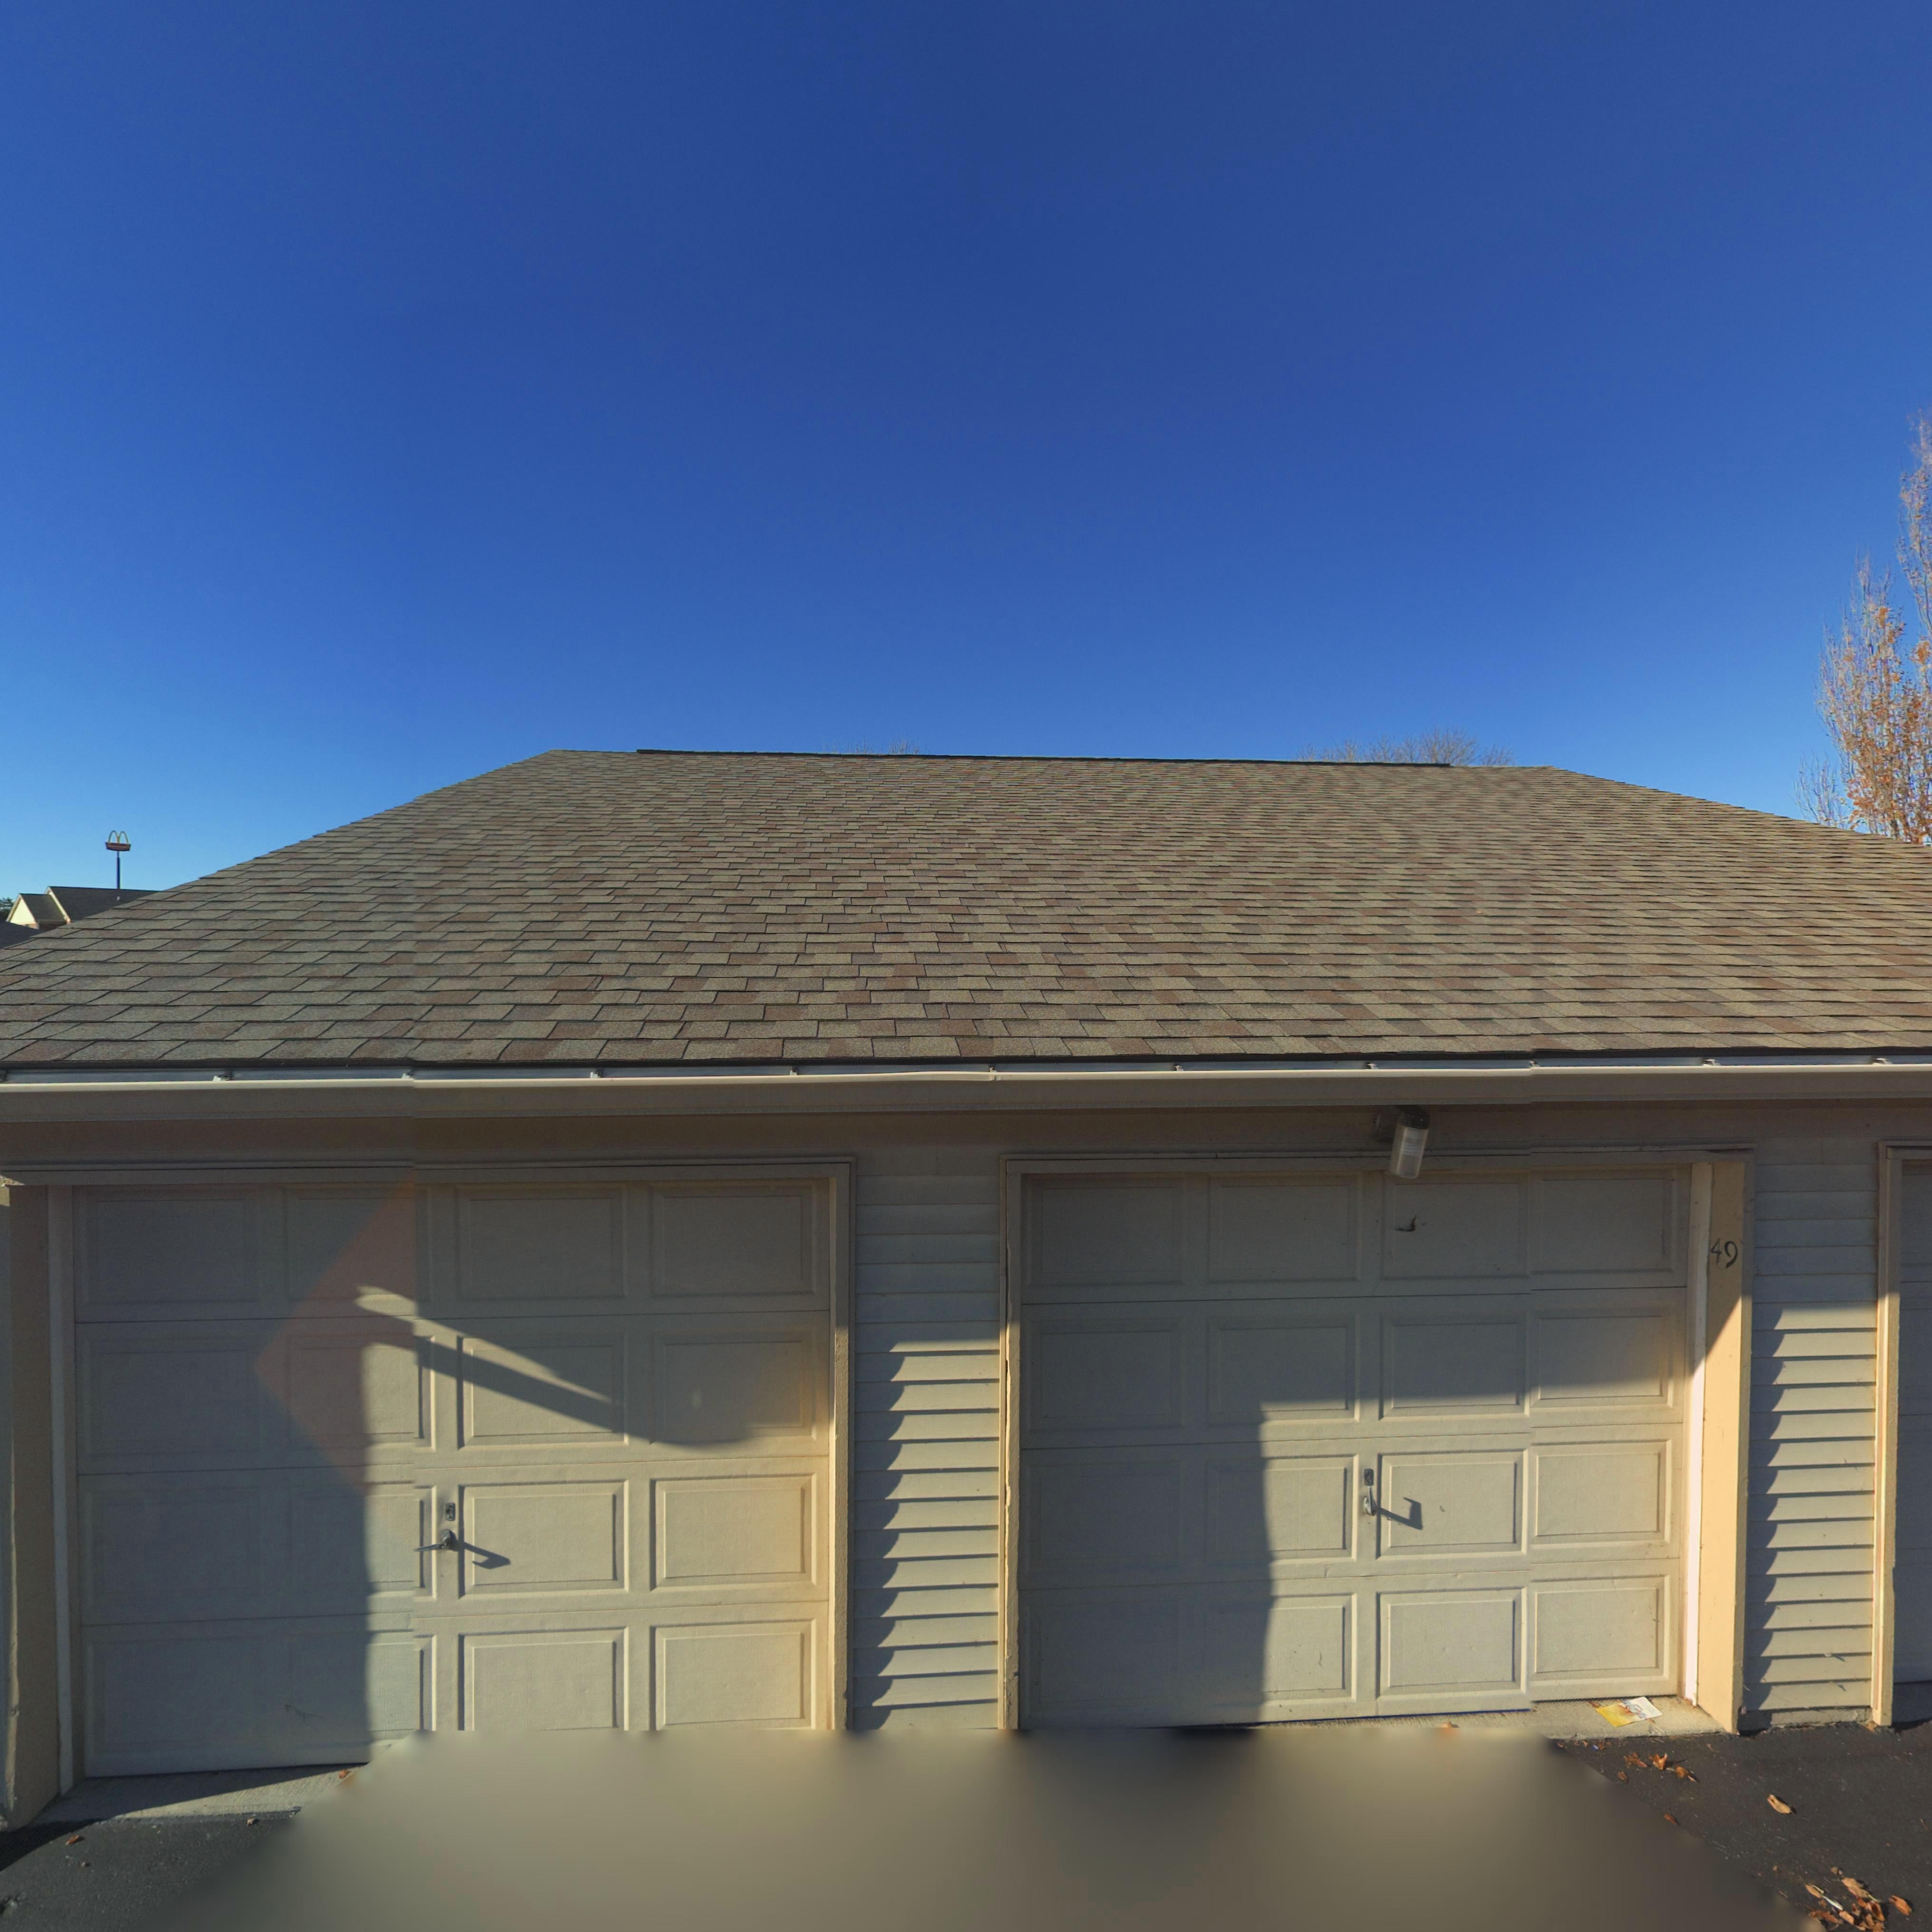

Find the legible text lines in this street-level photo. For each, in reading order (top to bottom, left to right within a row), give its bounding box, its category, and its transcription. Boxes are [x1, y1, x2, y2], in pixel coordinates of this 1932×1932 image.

[1710, 1235, 1739, 1270] StreetNumber: 49